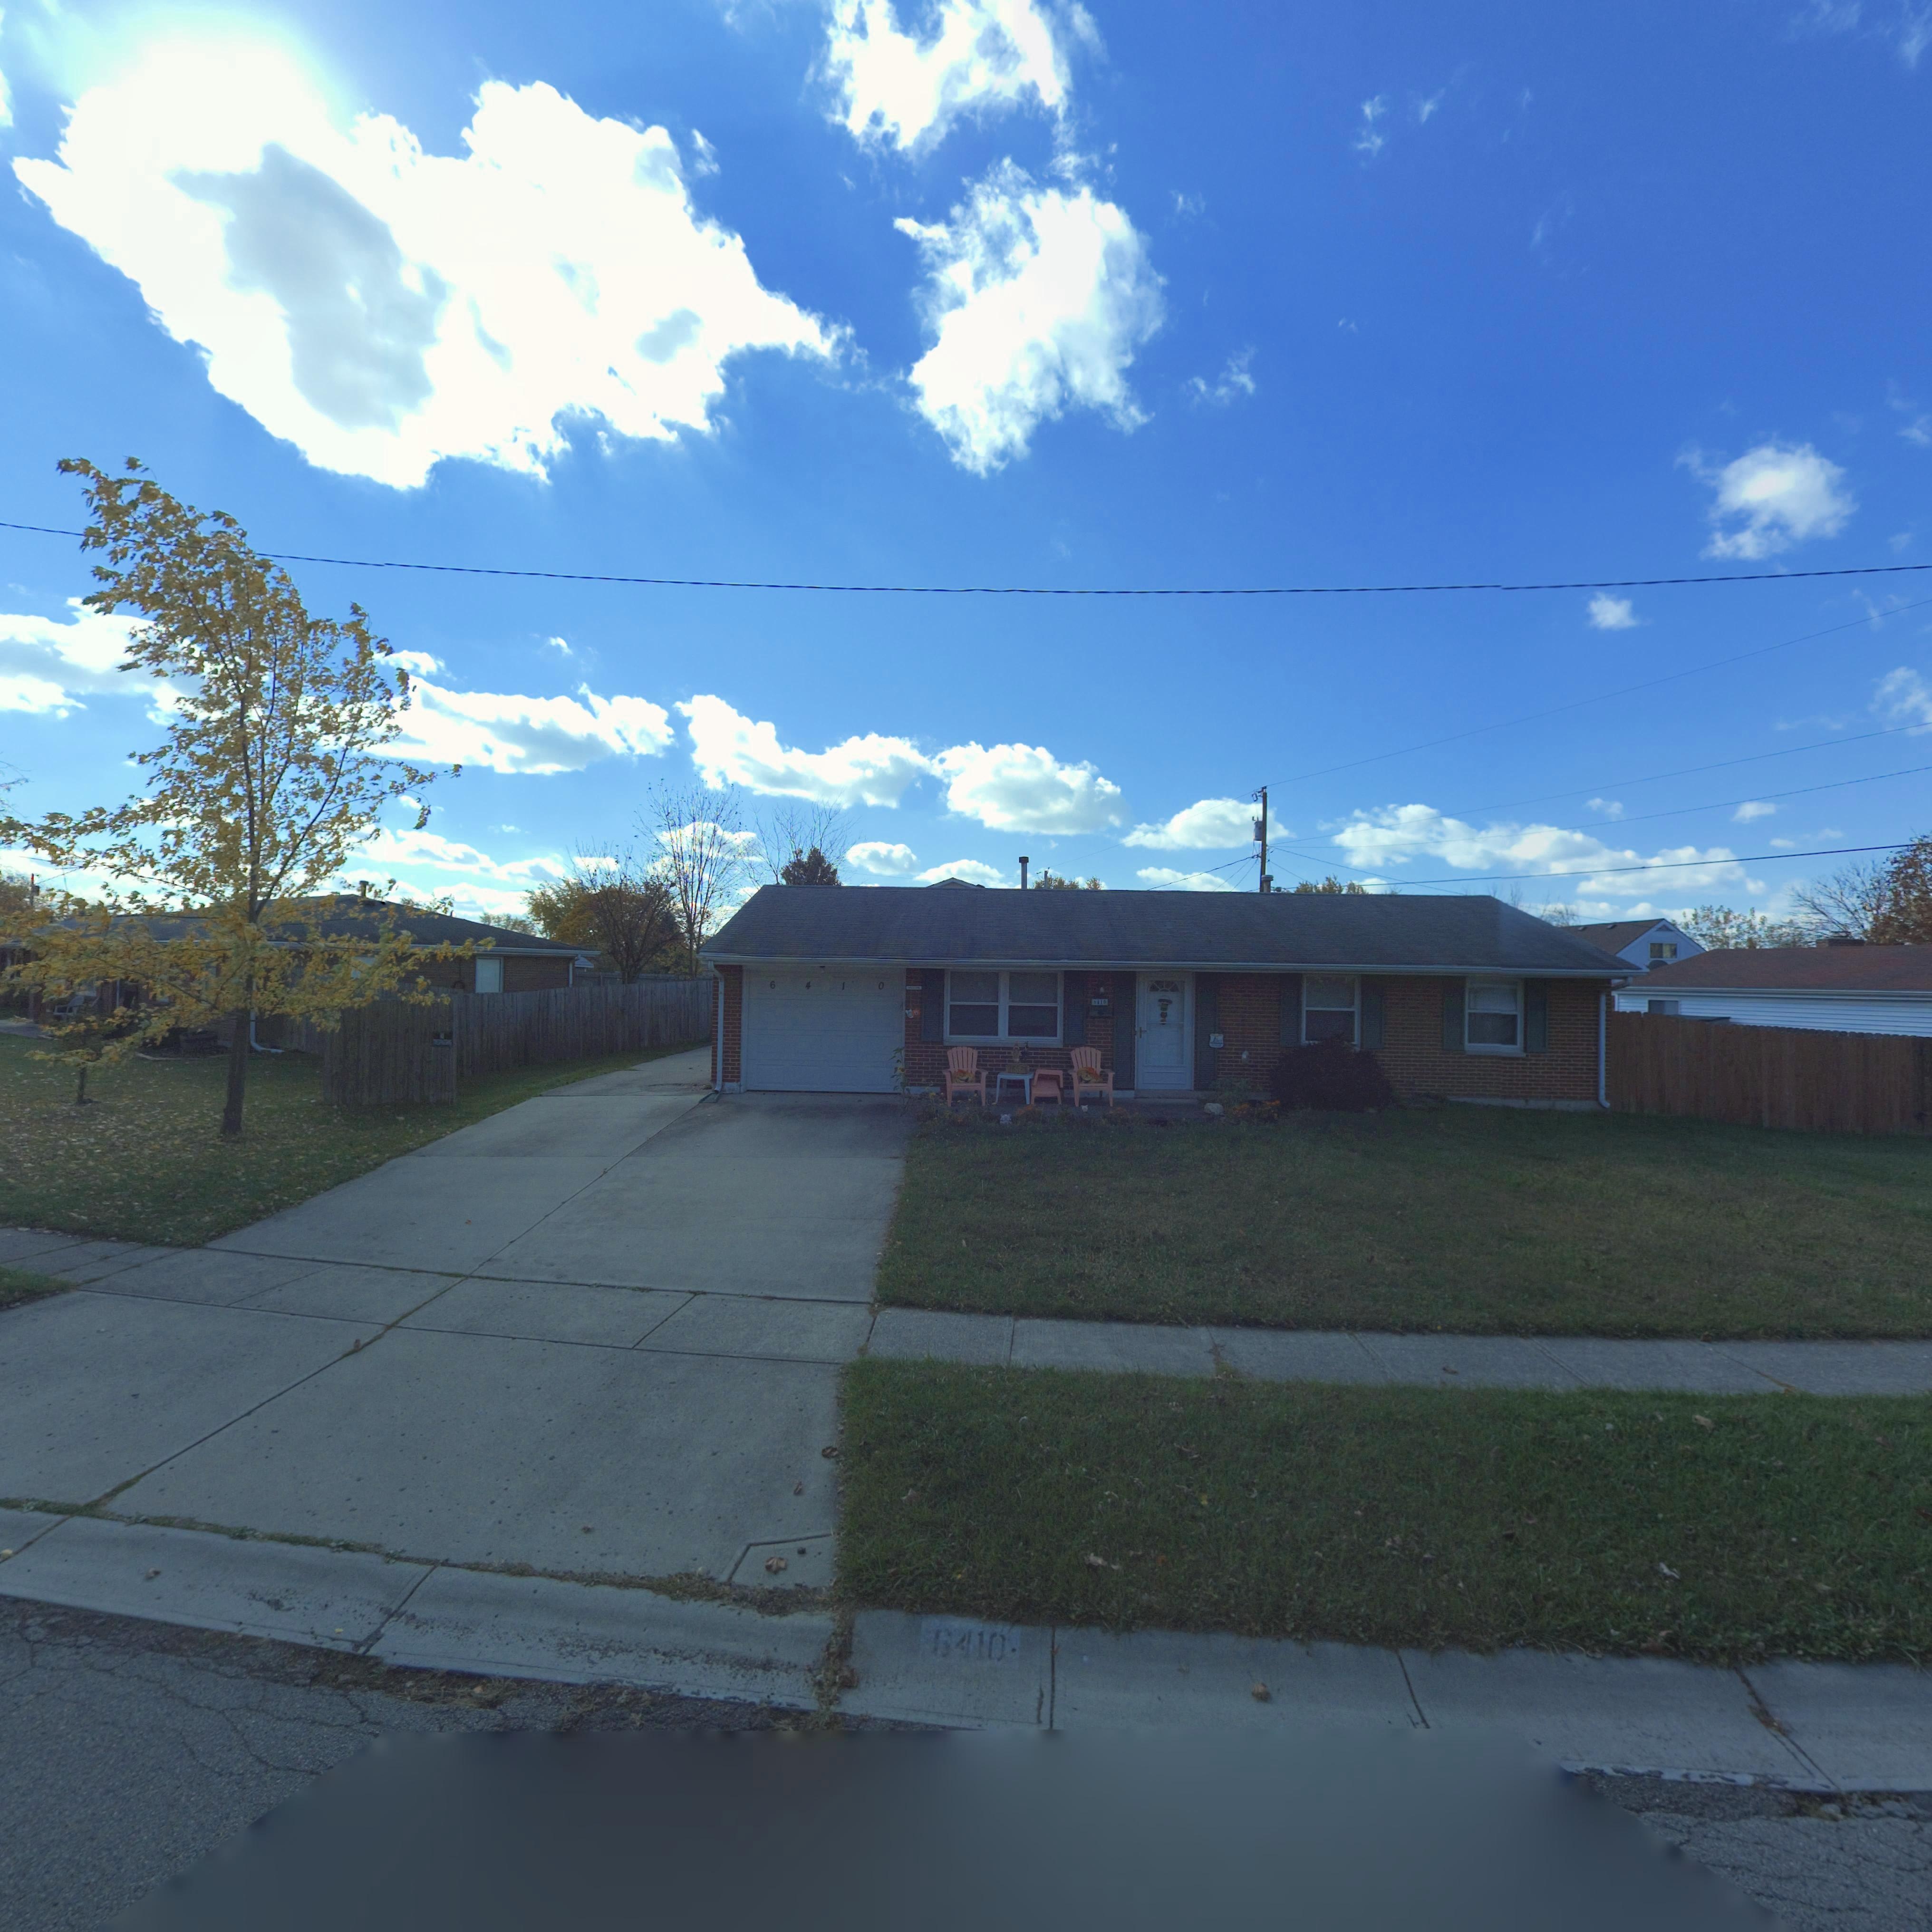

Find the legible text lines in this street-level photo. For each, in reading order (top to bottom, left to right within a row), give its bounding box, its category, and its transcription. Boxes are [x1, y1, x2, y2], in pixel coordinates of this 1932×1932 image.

[769, 980, 885, 991] StreetNumber: 6410
[1093, 999, 1107, 1005] StreetNumber: 6410
[932, 1626, 1008, 1663] StreetNumber: 6410